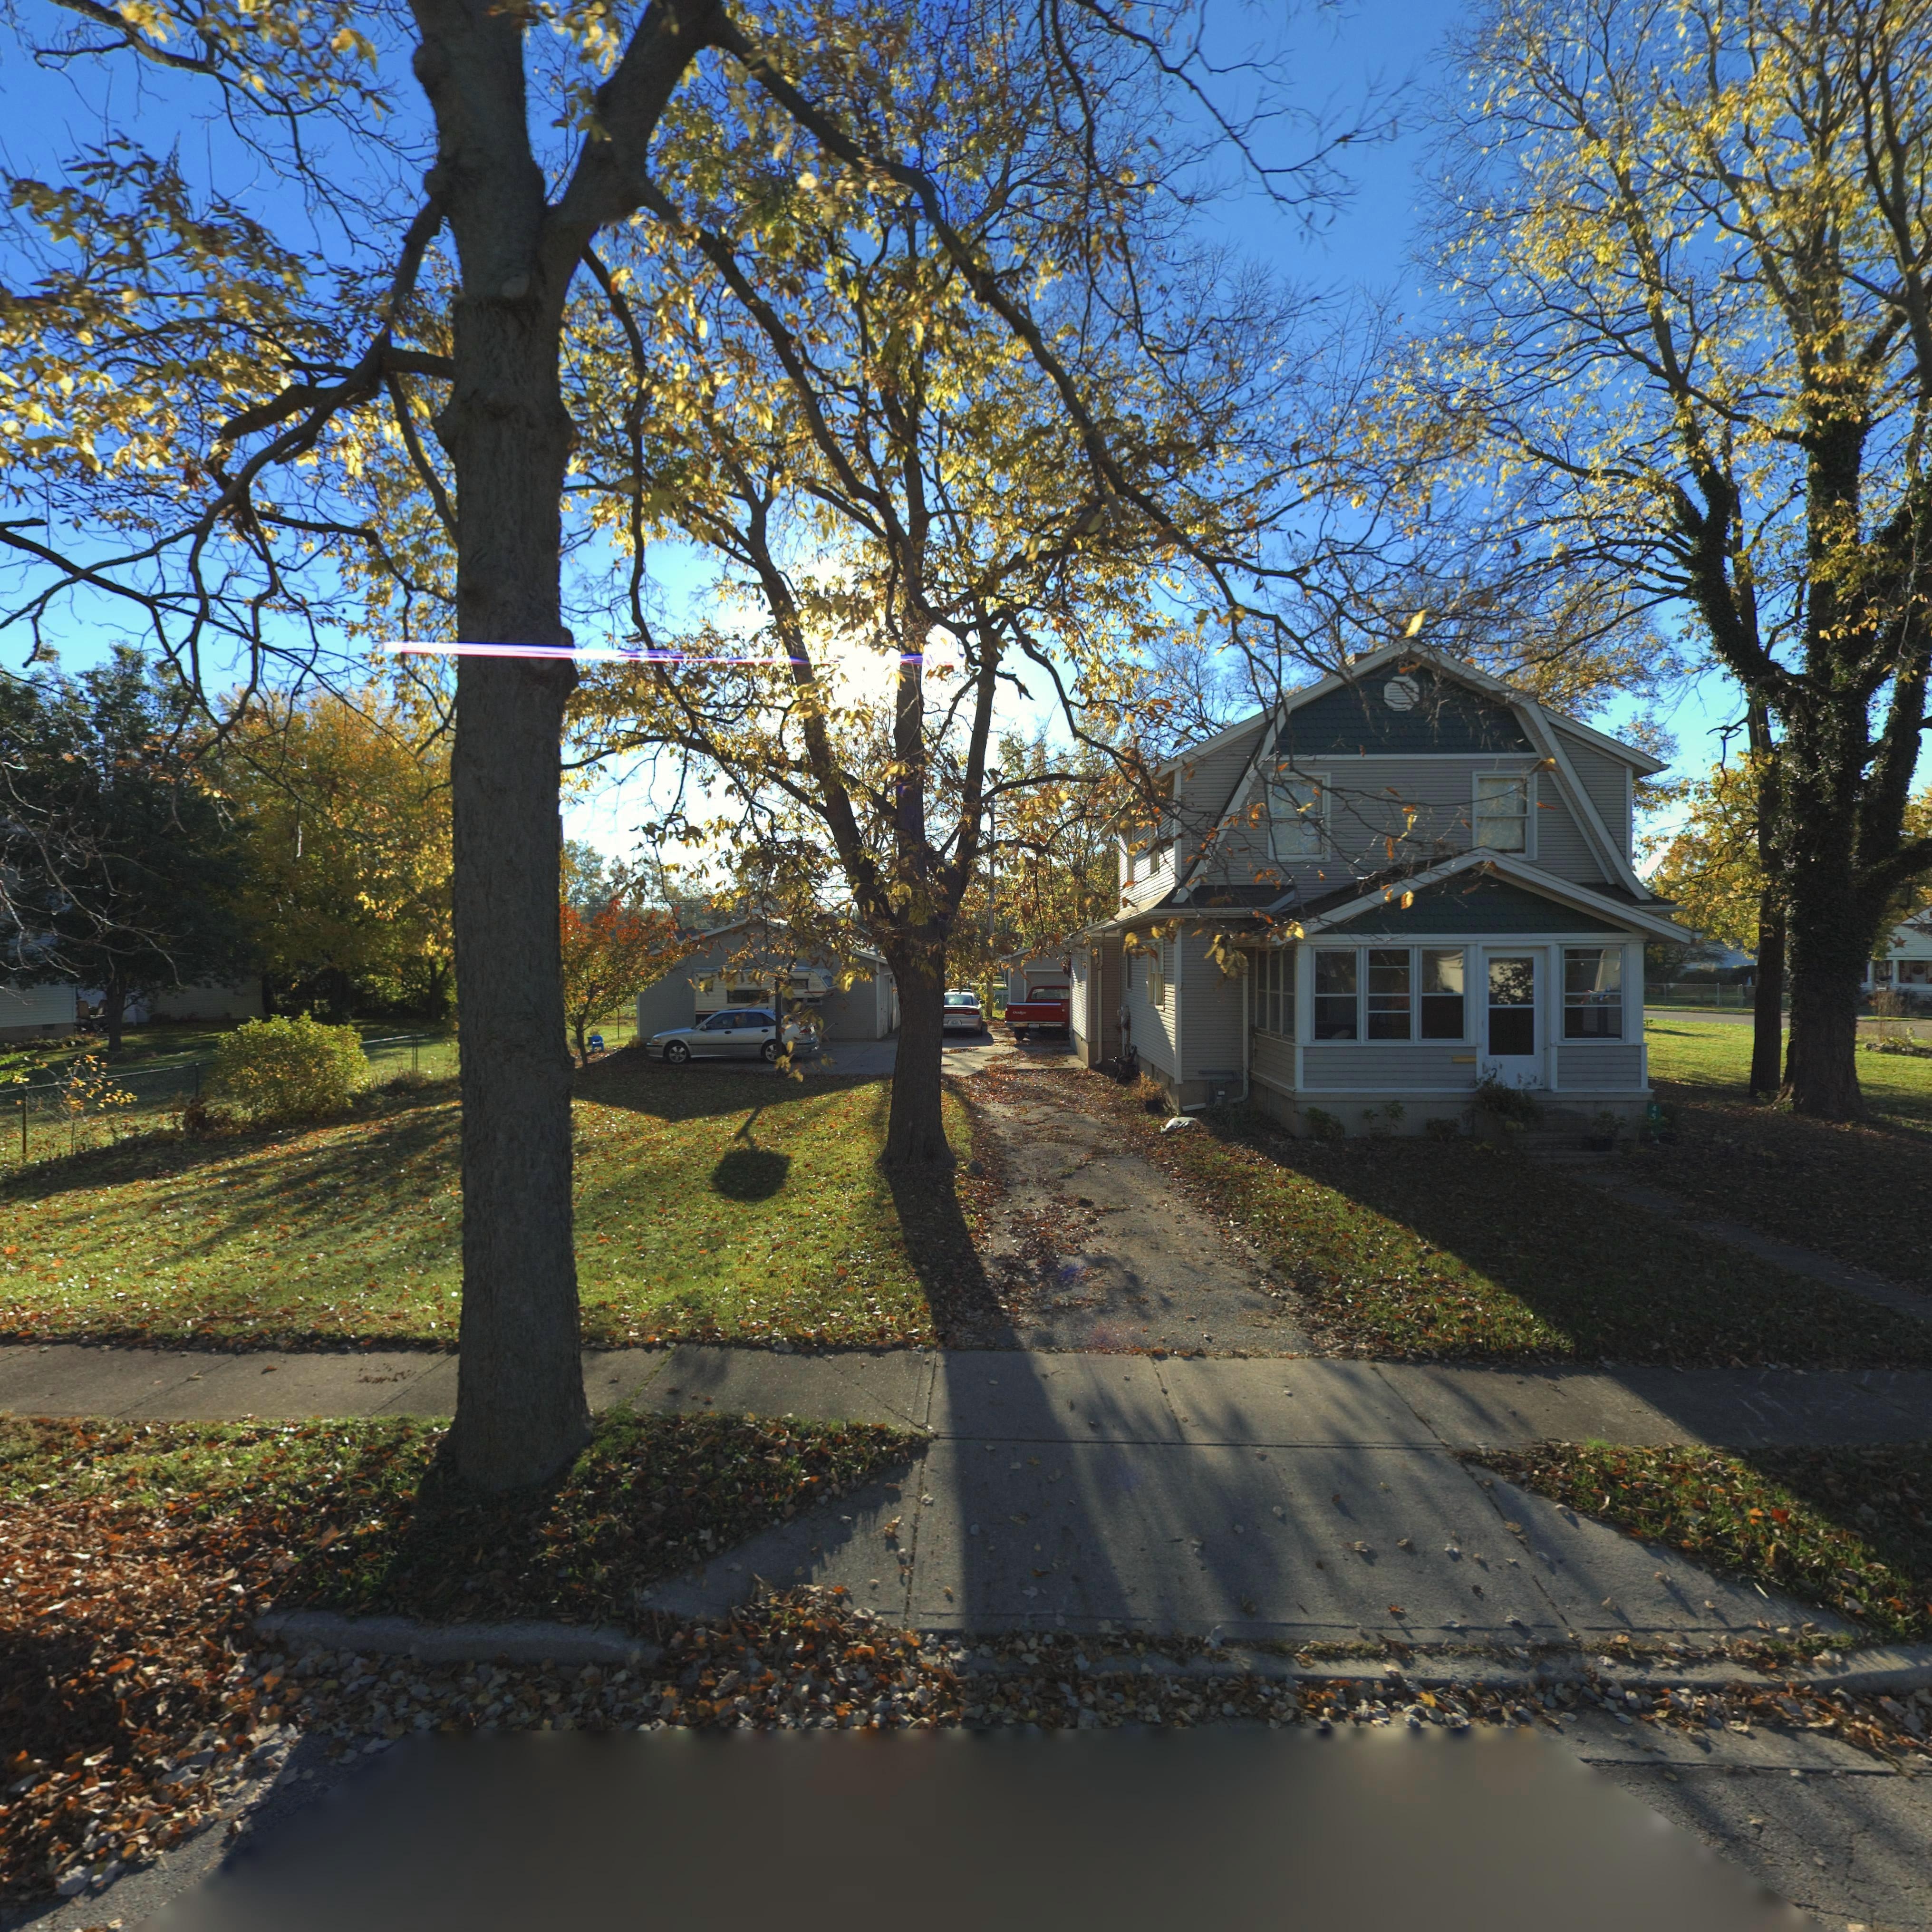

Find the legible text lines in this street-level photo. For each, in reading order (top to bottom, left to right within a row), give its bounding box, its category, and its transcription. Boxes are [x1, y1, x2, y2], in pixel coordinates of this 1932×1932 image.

[1651, 1103, 1657, 1121] StreetNumber: 45